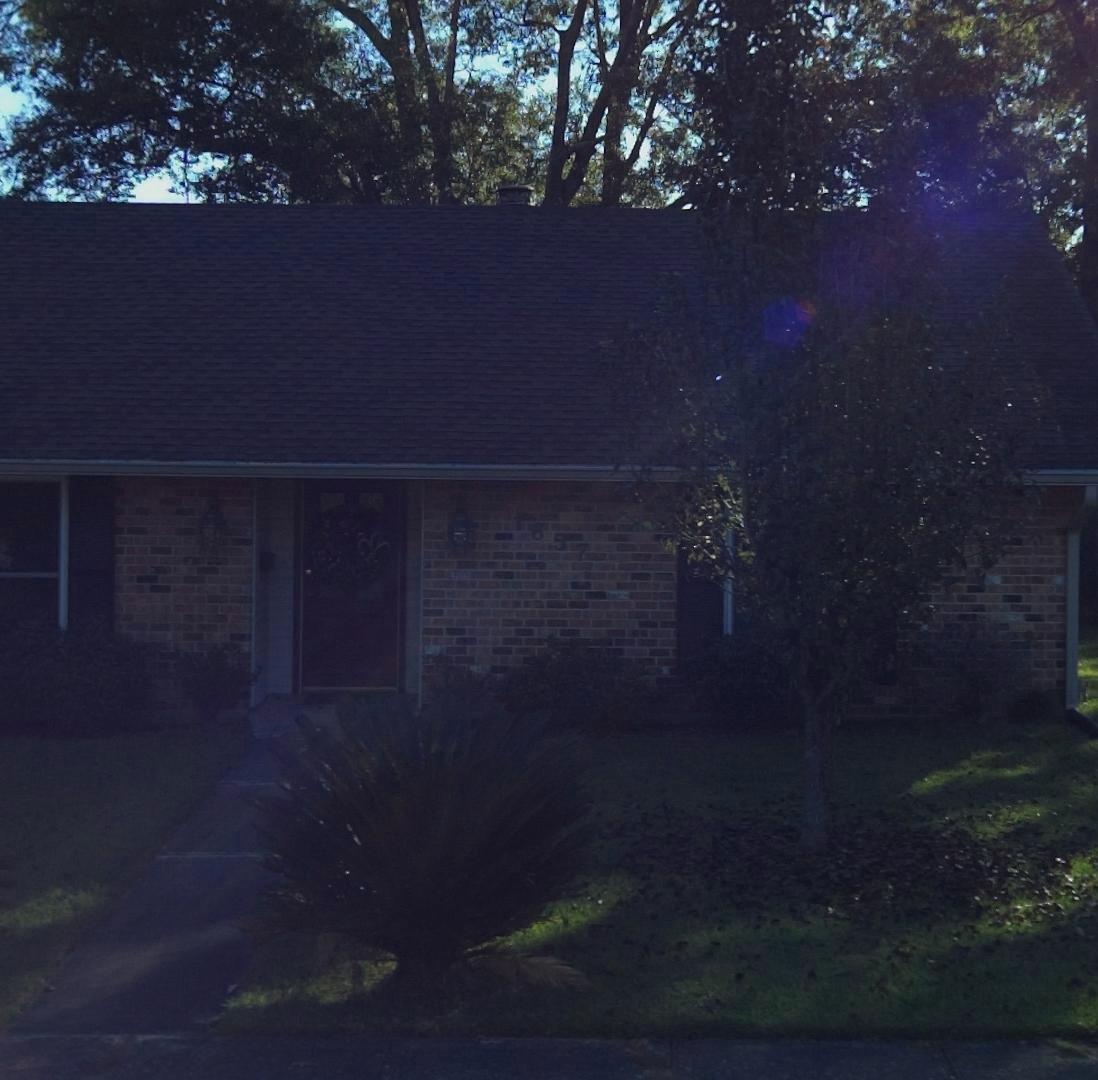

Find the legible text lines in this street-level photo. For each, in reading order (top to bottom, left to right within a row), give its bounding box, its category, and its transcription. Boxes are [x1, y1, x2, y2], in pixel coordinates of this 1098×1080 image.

[512, 513, 590, 564] StreetNumber: 1657